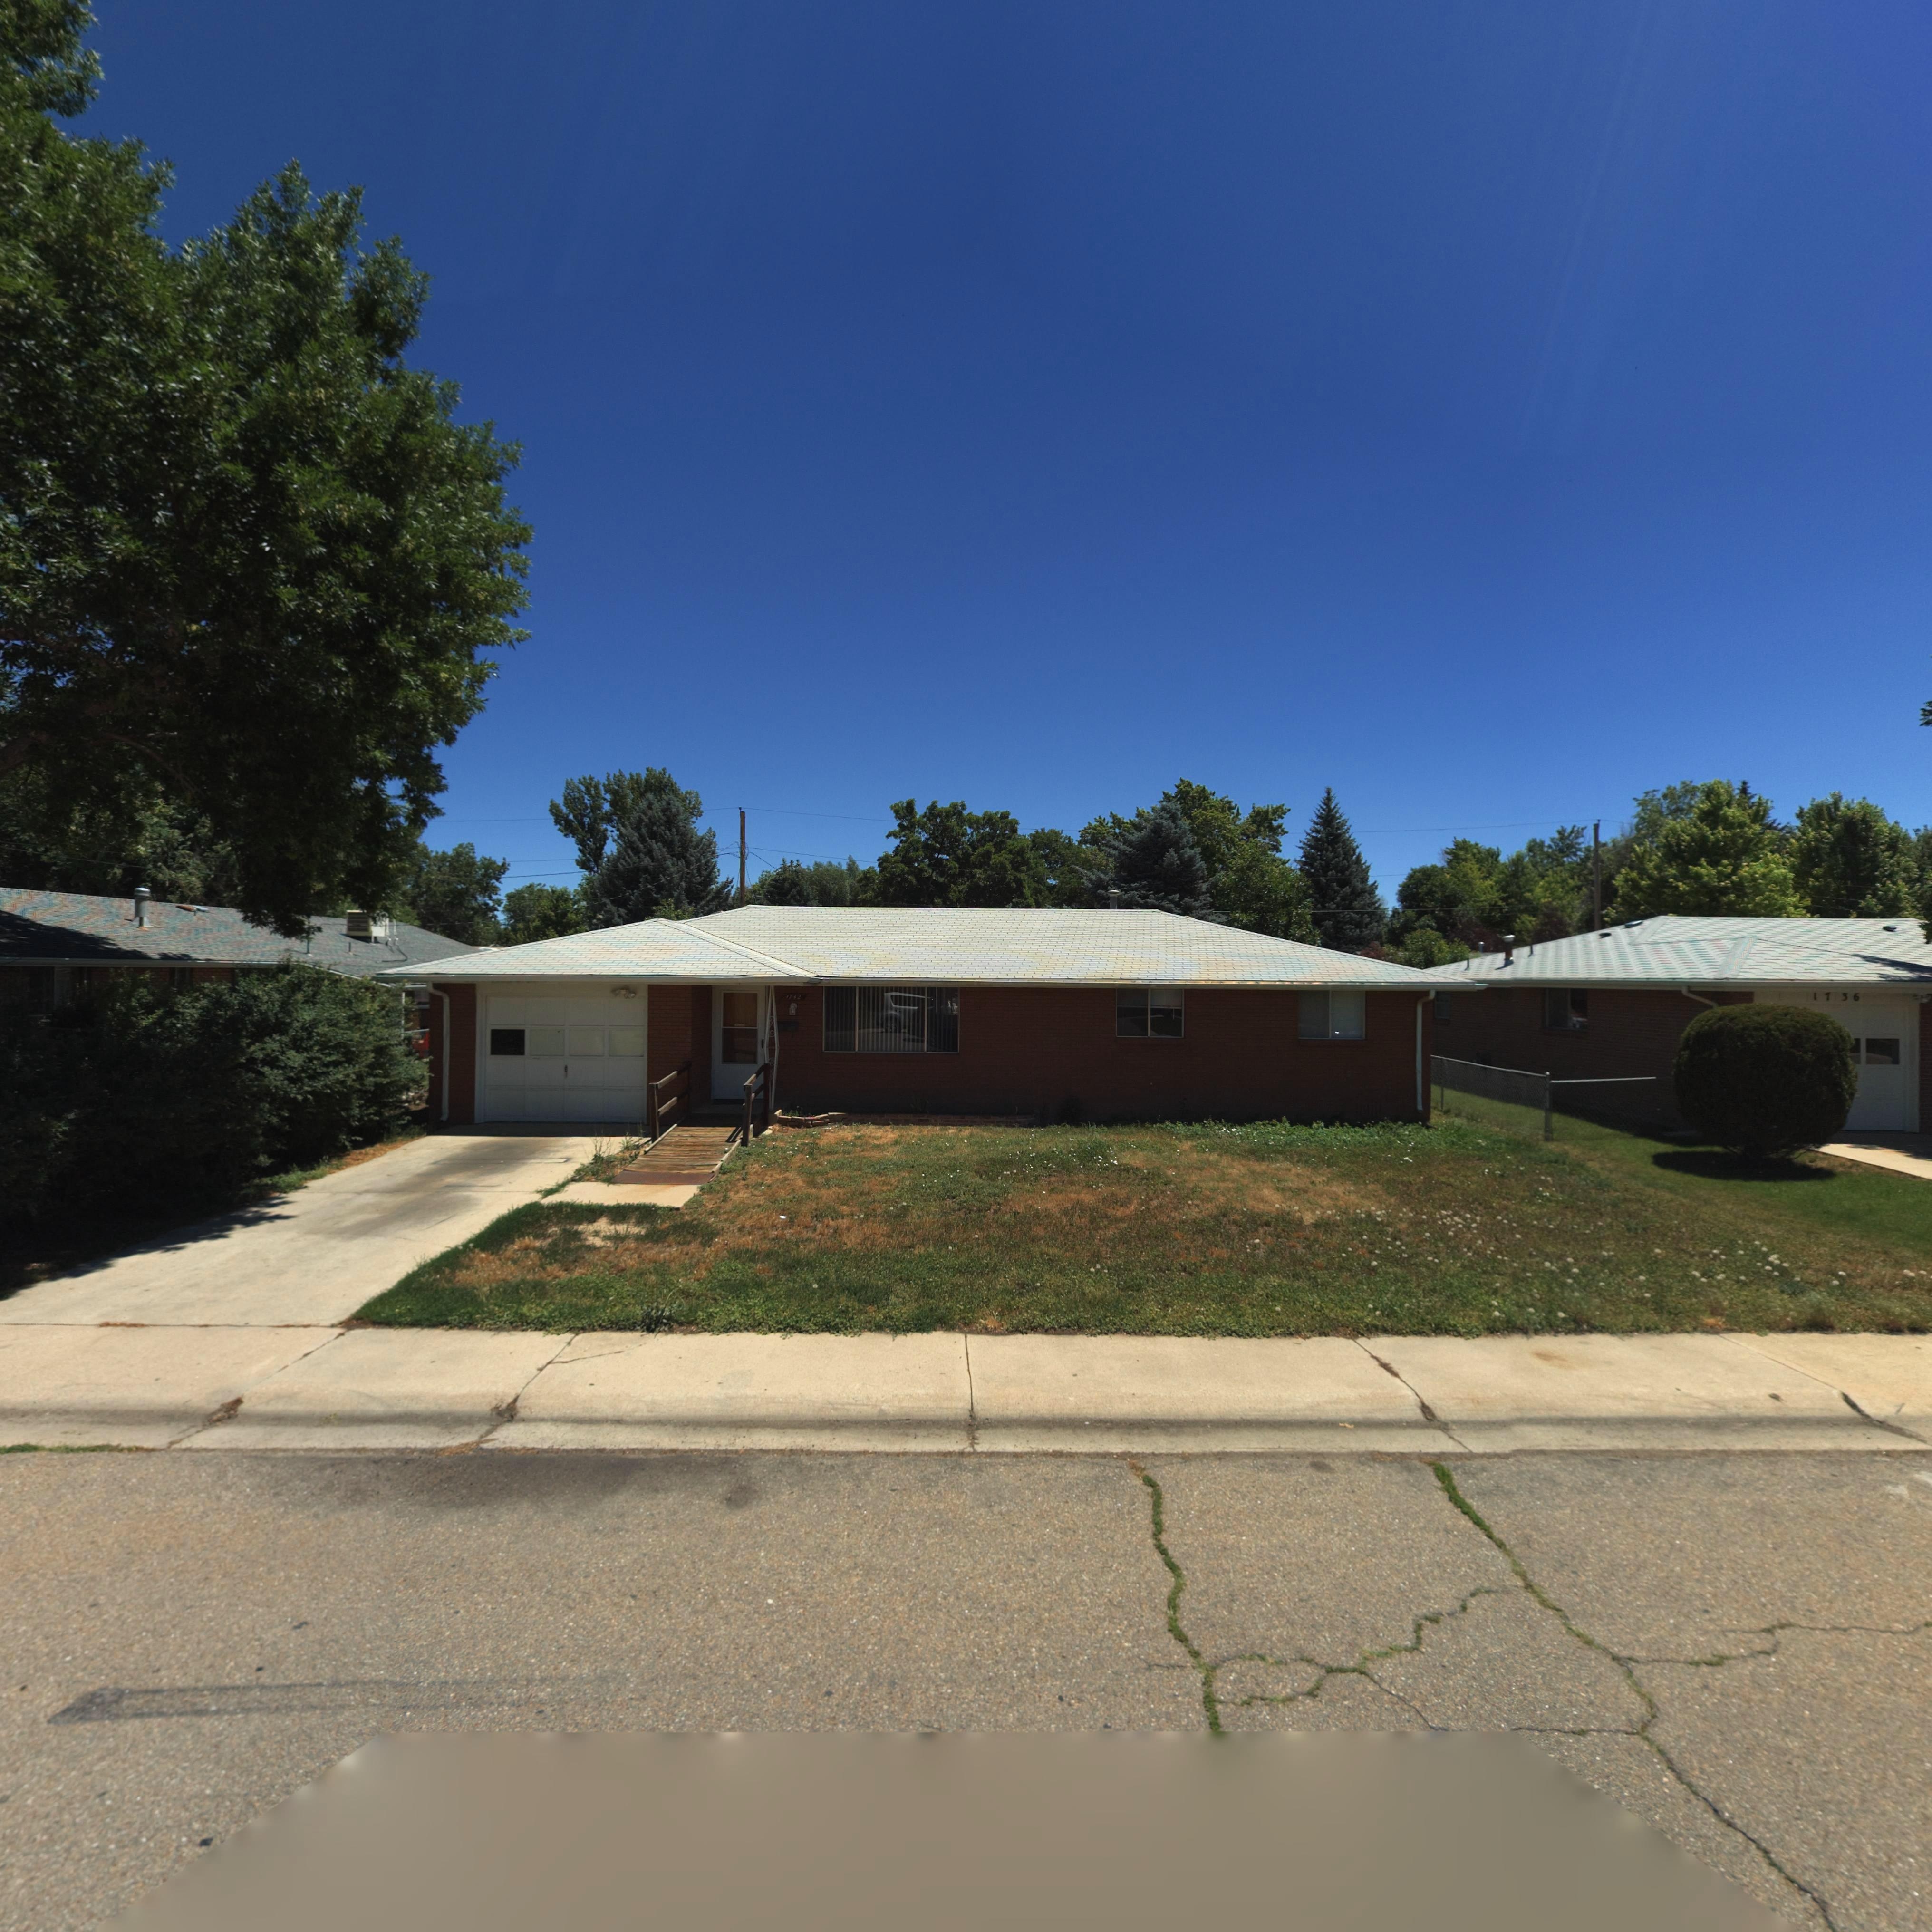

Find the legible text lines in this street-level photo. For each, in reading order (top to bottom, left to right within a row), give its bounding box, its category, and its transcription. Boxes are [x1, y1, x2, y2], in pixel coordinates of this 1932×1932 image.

[784, 994, 801, 999] StreetNumber: 1742
[1813, 992, 1860, 1002] StreetNumber: 1736